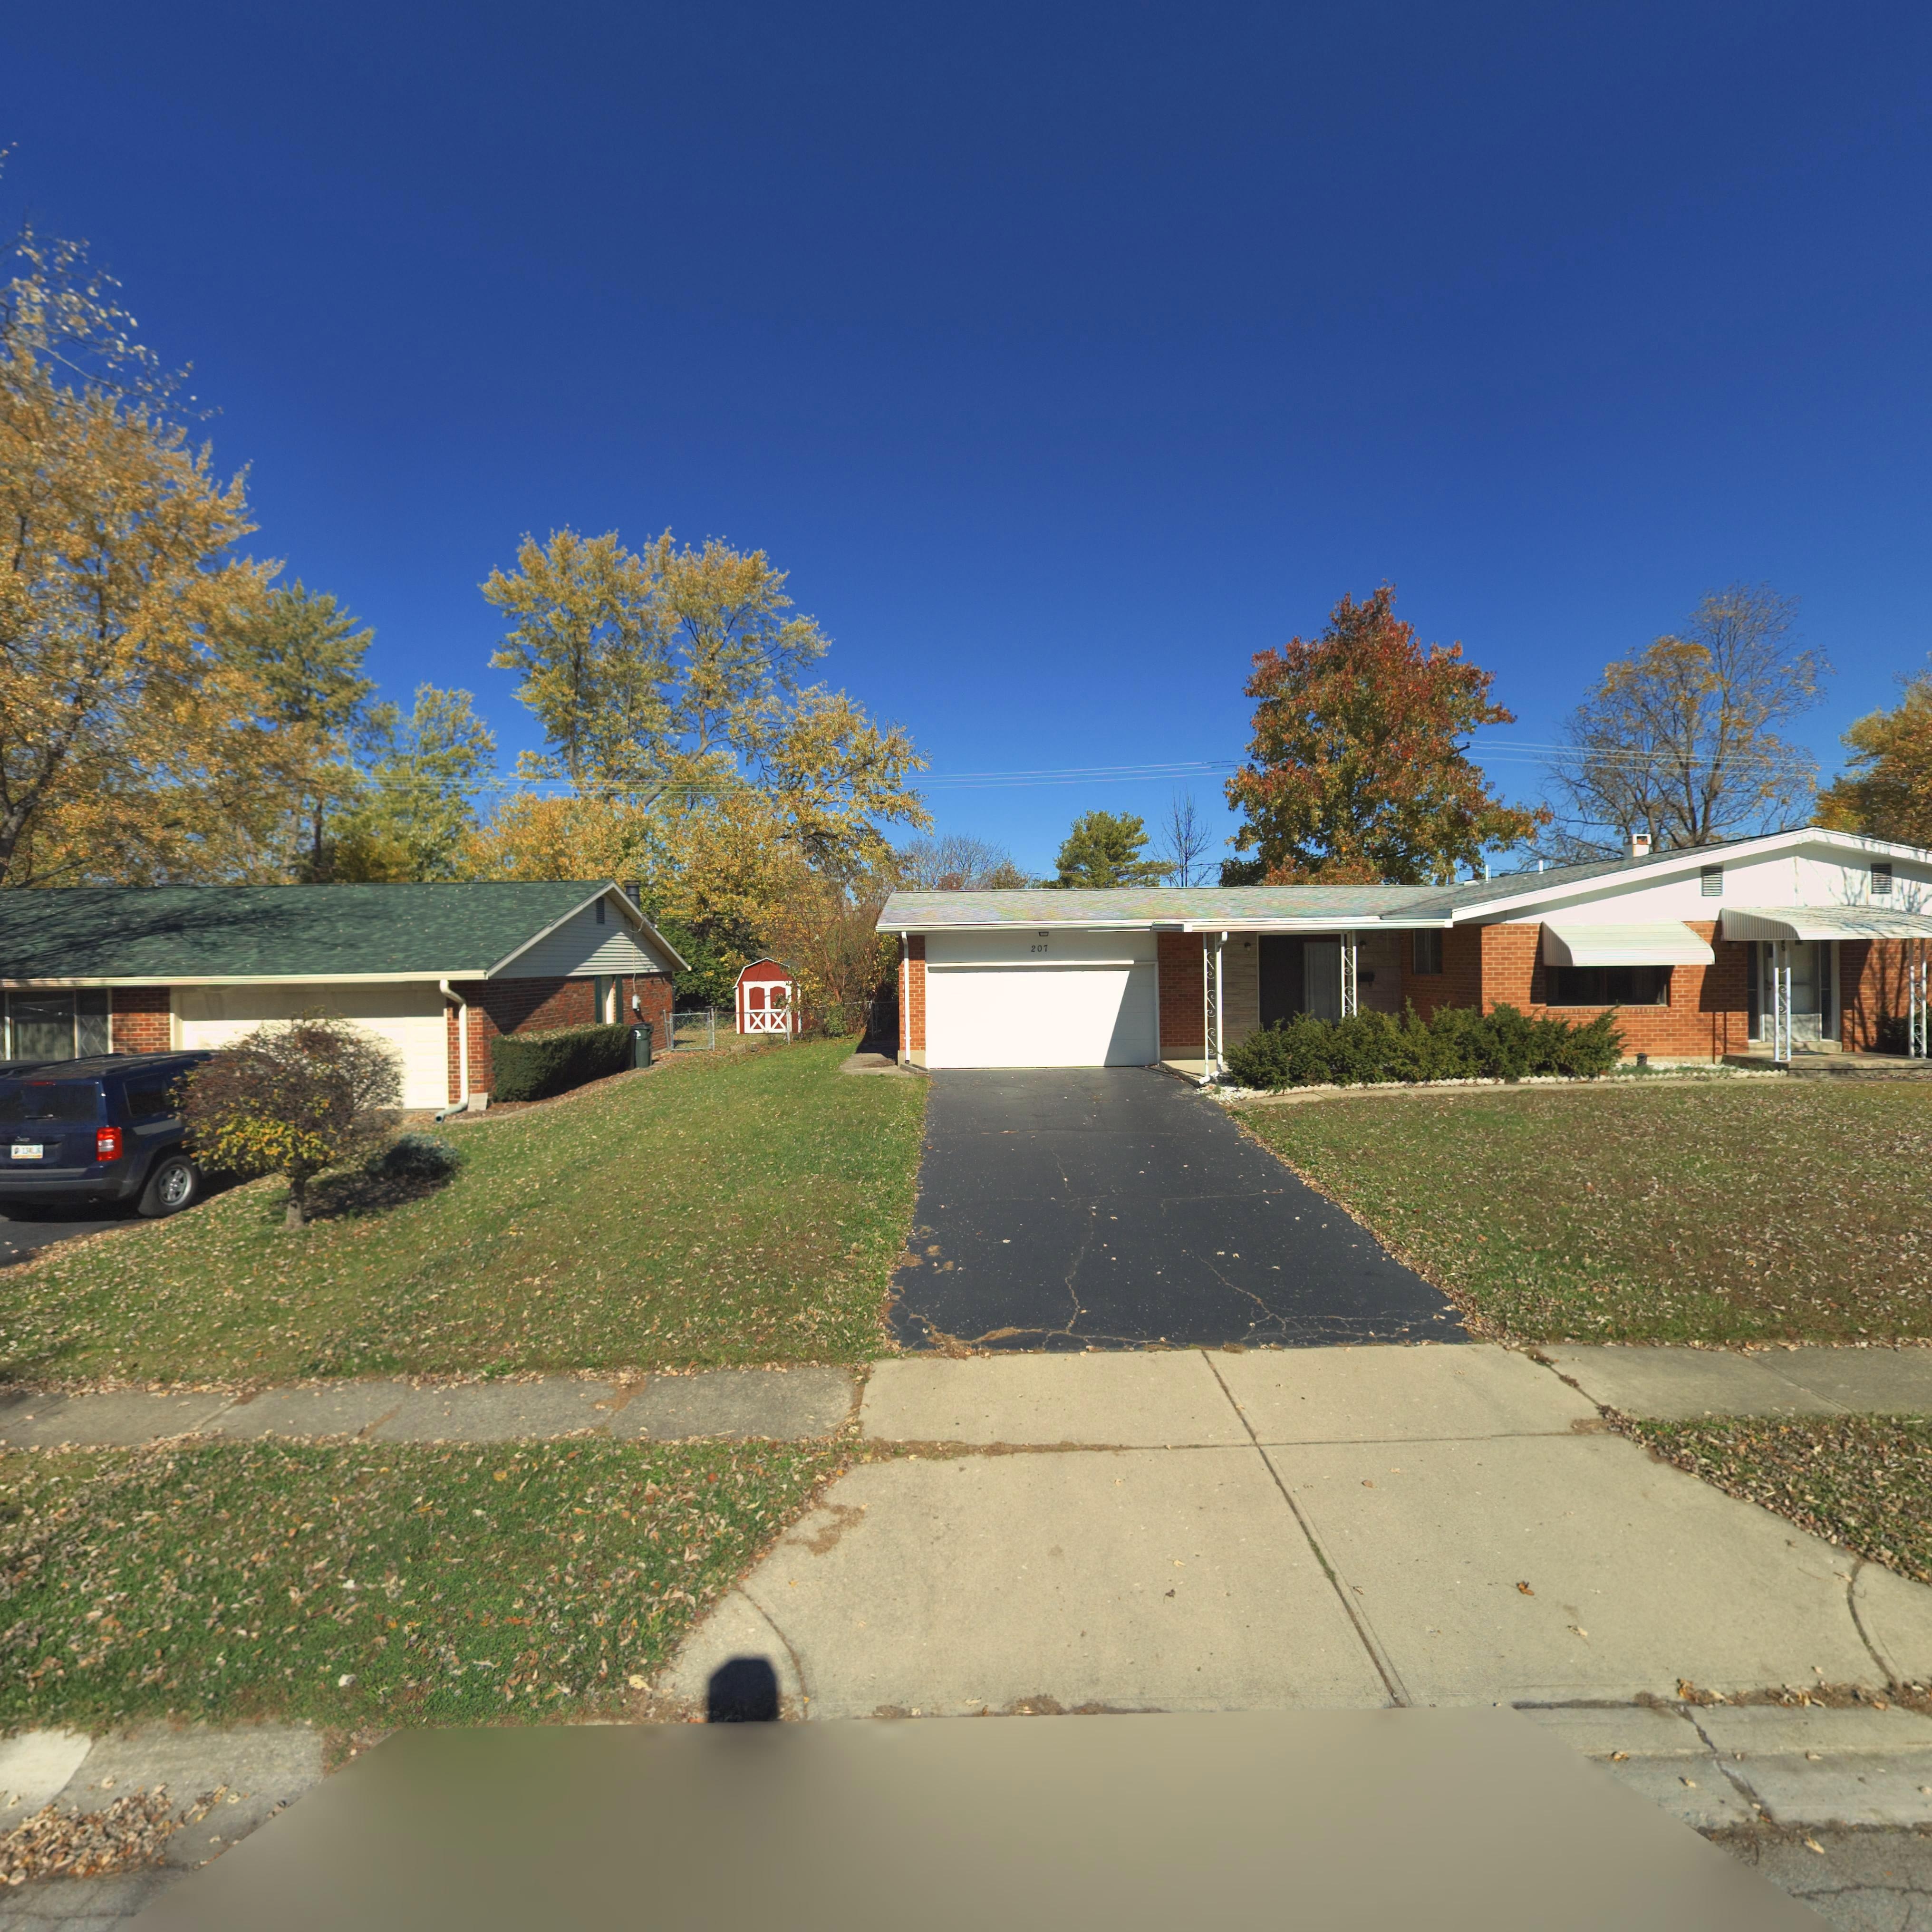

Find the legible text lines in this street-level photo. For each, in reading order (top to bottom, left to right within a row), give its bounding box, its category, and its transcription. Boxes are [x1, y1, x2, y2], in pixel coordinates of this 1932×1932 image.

[1030, 944, 1049, 953] StreetNumber: 207